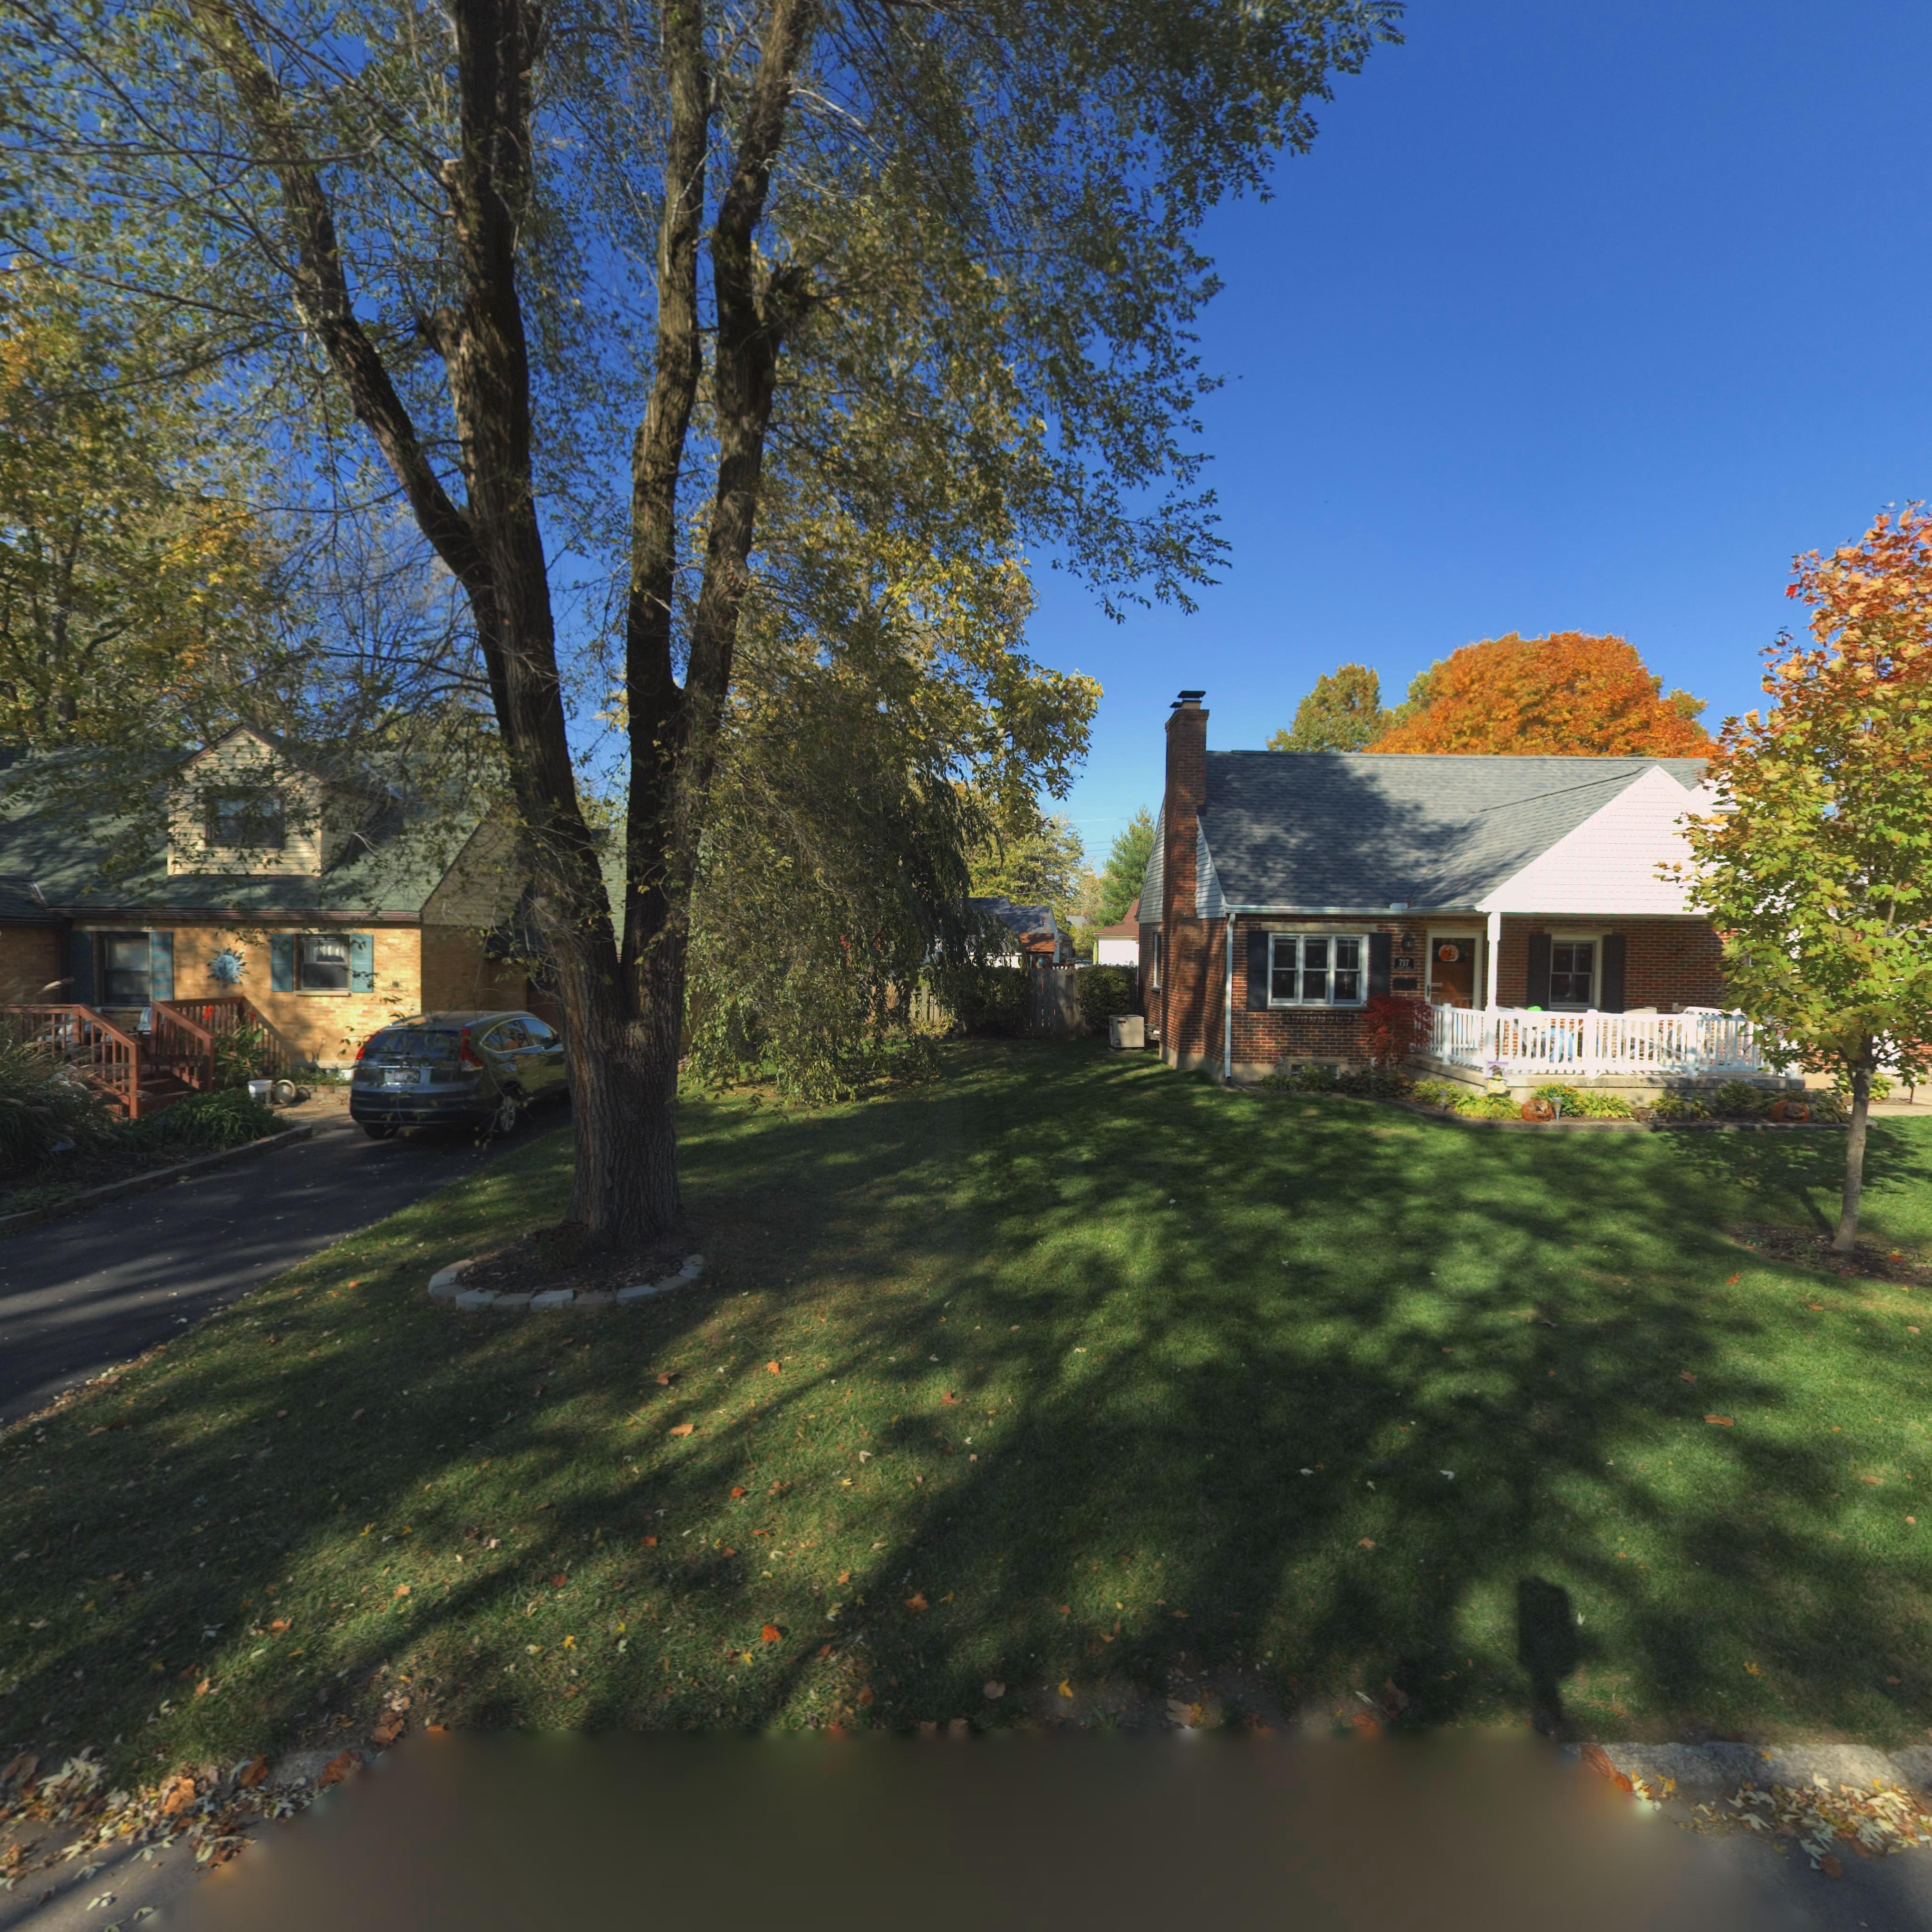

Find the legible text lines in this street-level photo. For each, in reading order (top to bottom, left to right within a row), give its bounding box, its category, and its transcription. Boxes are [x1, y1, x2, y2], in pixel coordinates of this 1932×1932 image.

[1398, 958, 1411, 967] StreetNumber: 717